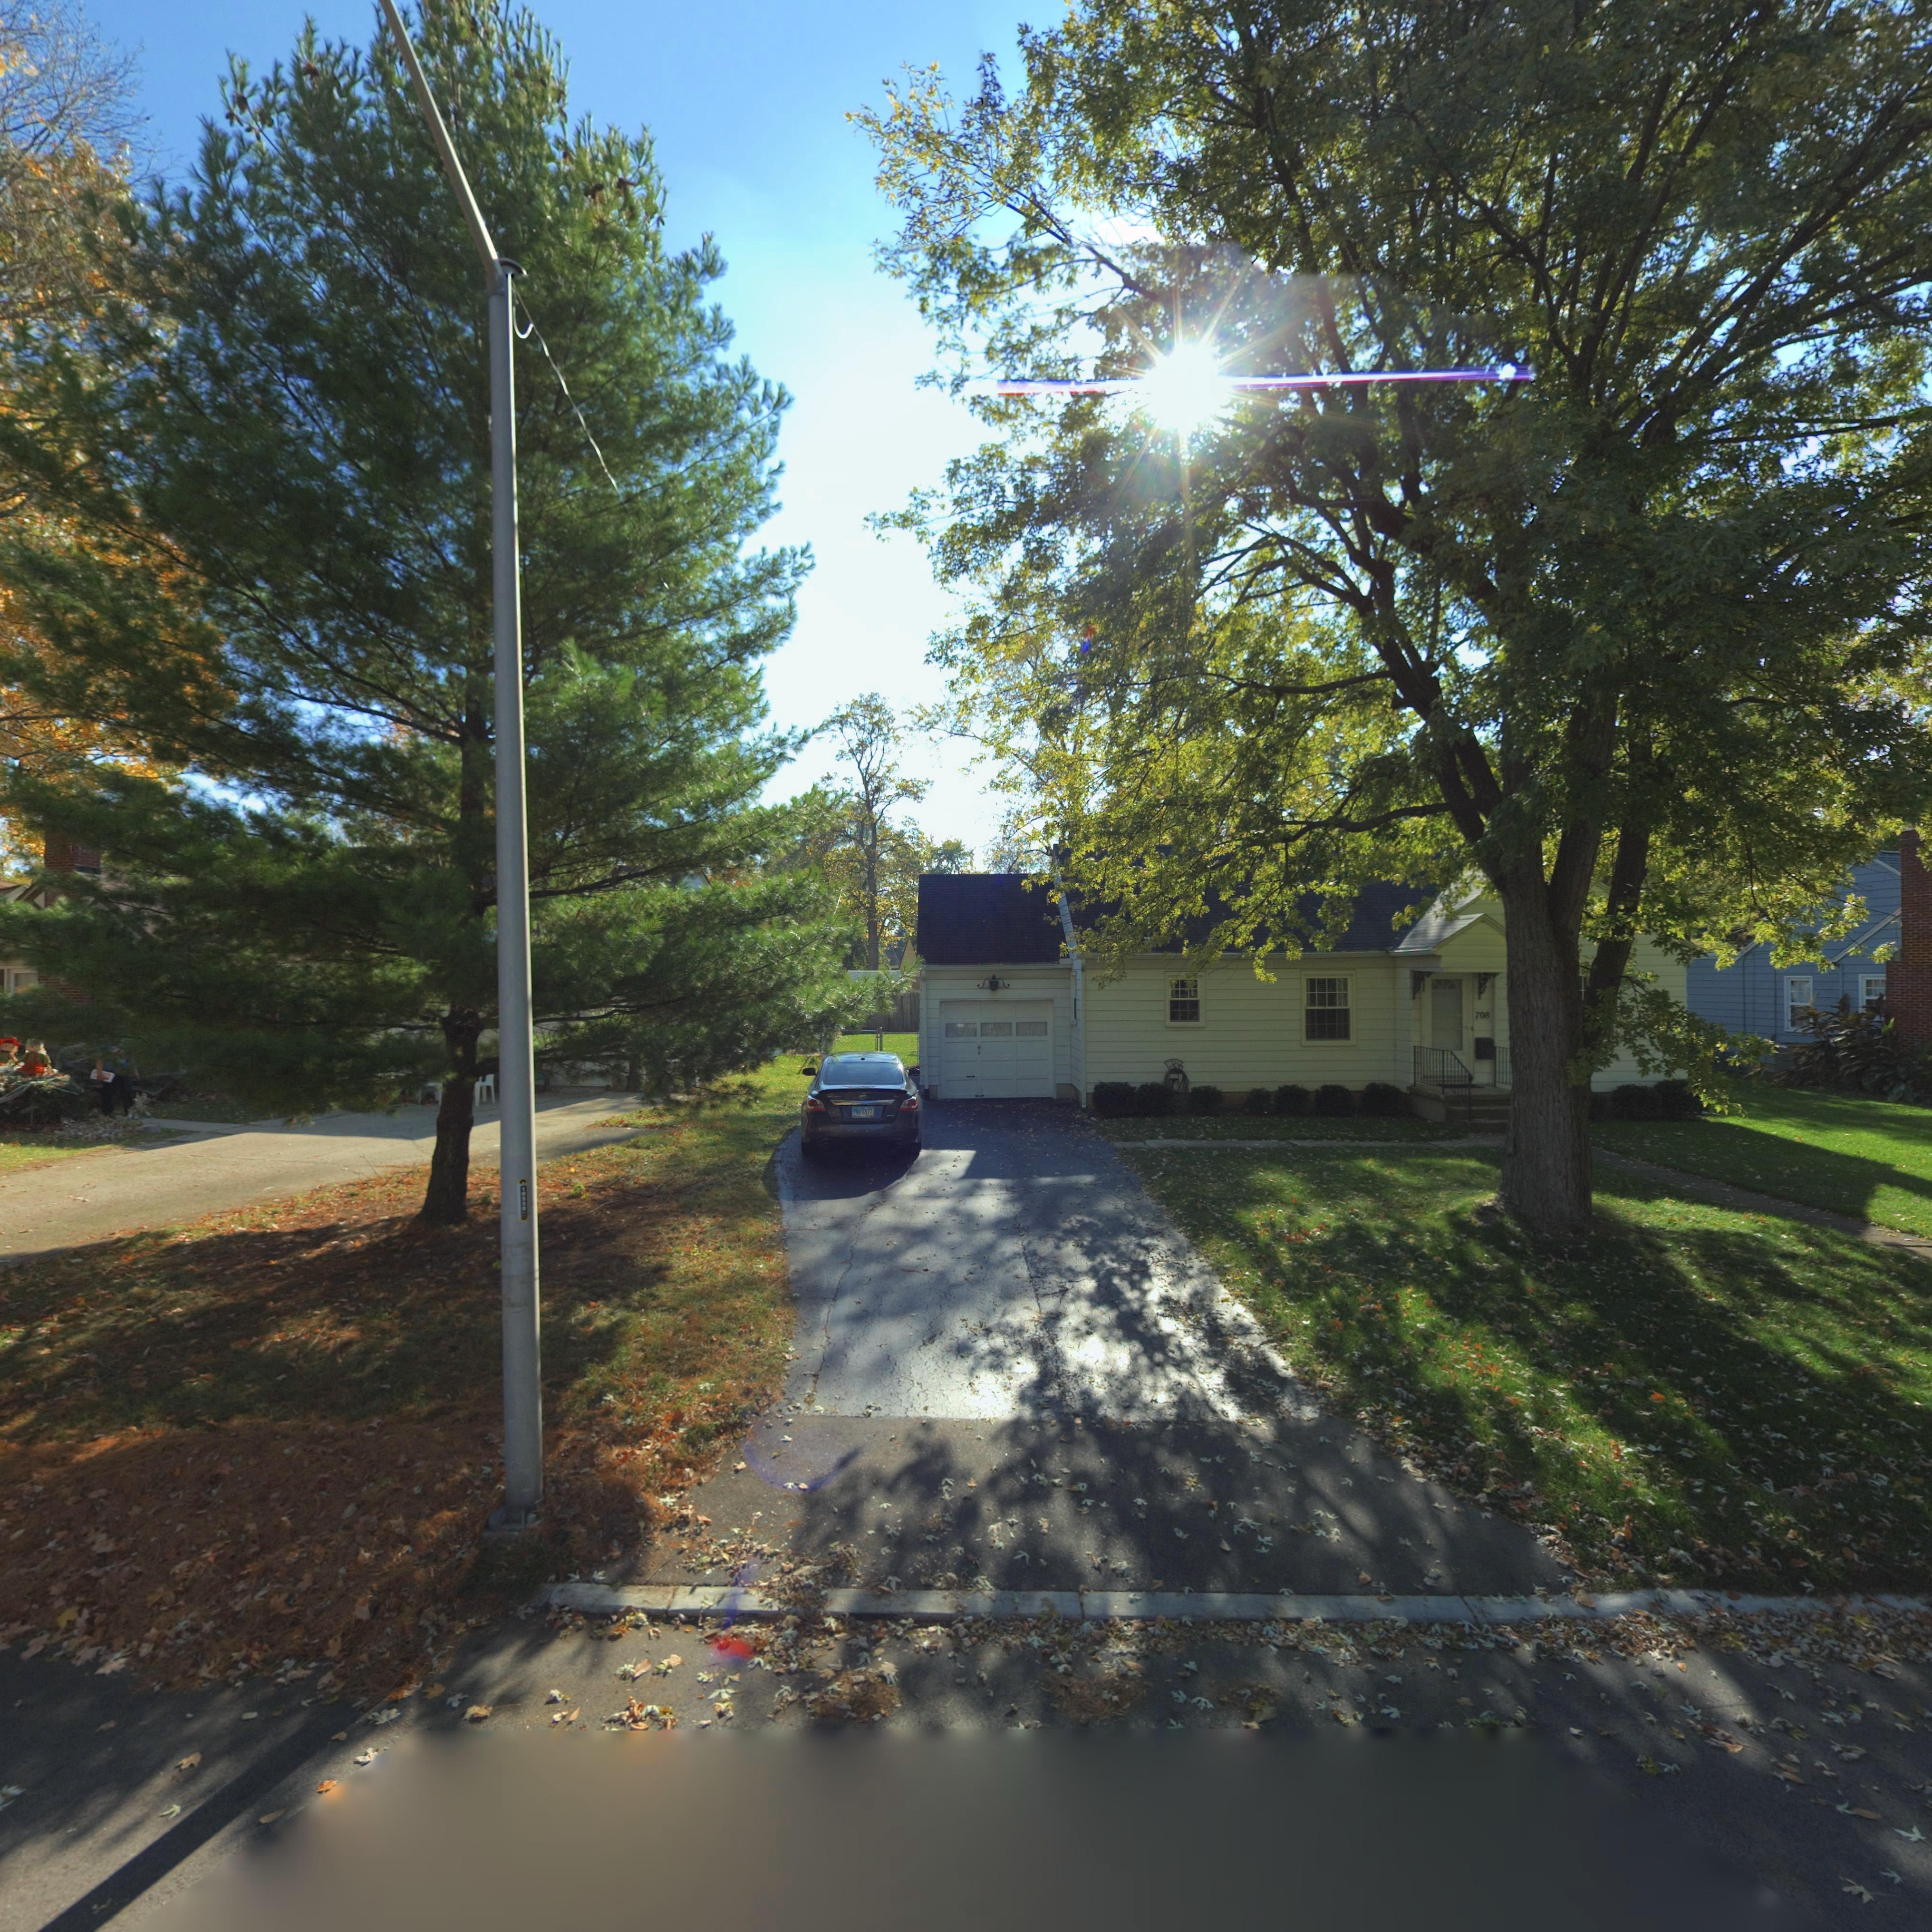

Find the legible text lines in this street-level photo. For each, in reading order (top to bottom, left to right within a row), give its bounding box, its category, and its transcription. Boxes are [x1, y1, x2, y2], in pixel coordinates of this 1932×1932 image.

[1474, 1010, 1491, 1020] StreetNumber: 708